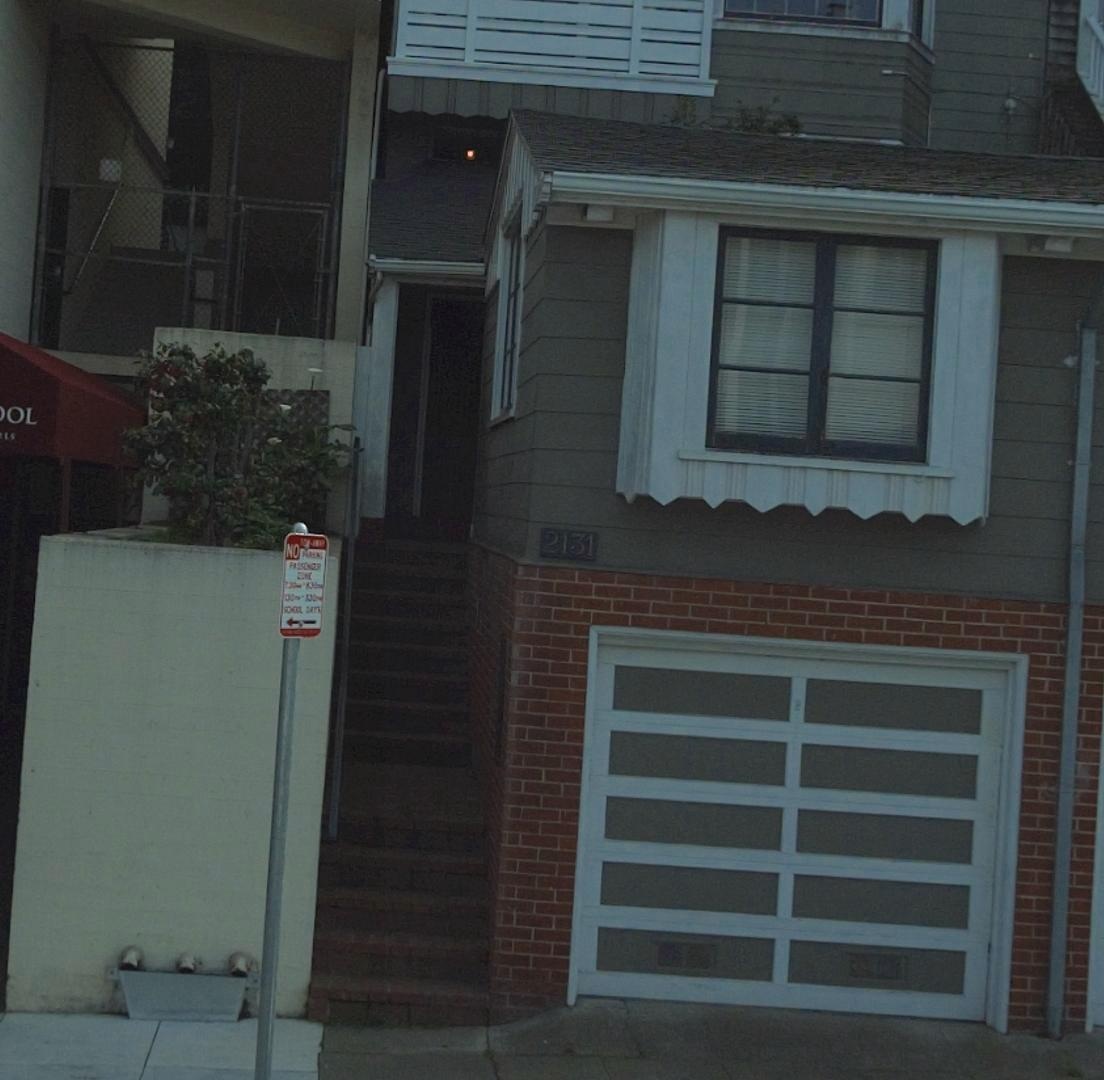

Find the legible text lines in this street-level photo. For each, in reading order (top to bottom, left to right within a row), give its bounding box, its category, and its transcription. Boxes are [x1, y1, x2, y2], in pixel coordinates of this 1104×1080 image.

[4, 404, 39, 428] BusinessName: OL
[285, 541, 301, 561] None: NO
[540, 528, 595, 559] StreetNumber: 2131